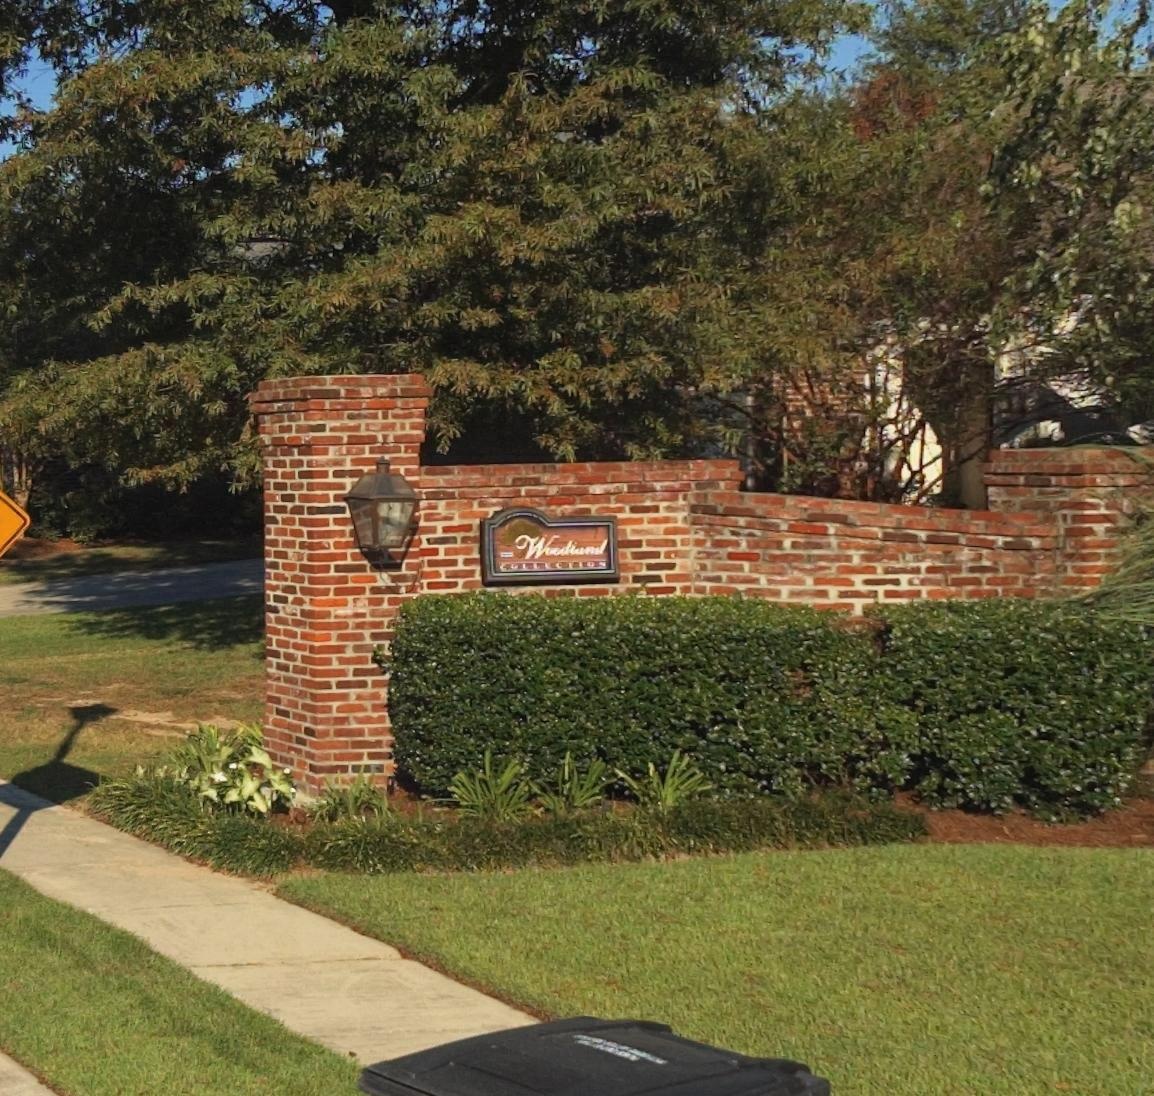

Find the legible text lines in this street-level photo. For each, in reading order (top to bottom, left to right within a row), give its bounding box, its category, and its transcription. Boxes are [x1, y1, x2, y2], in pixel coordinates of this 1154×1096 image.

[511, 532, 612, 562] BusinessName: Woodland
[498, 559, 610, 574] BusinessName: COLLECTION